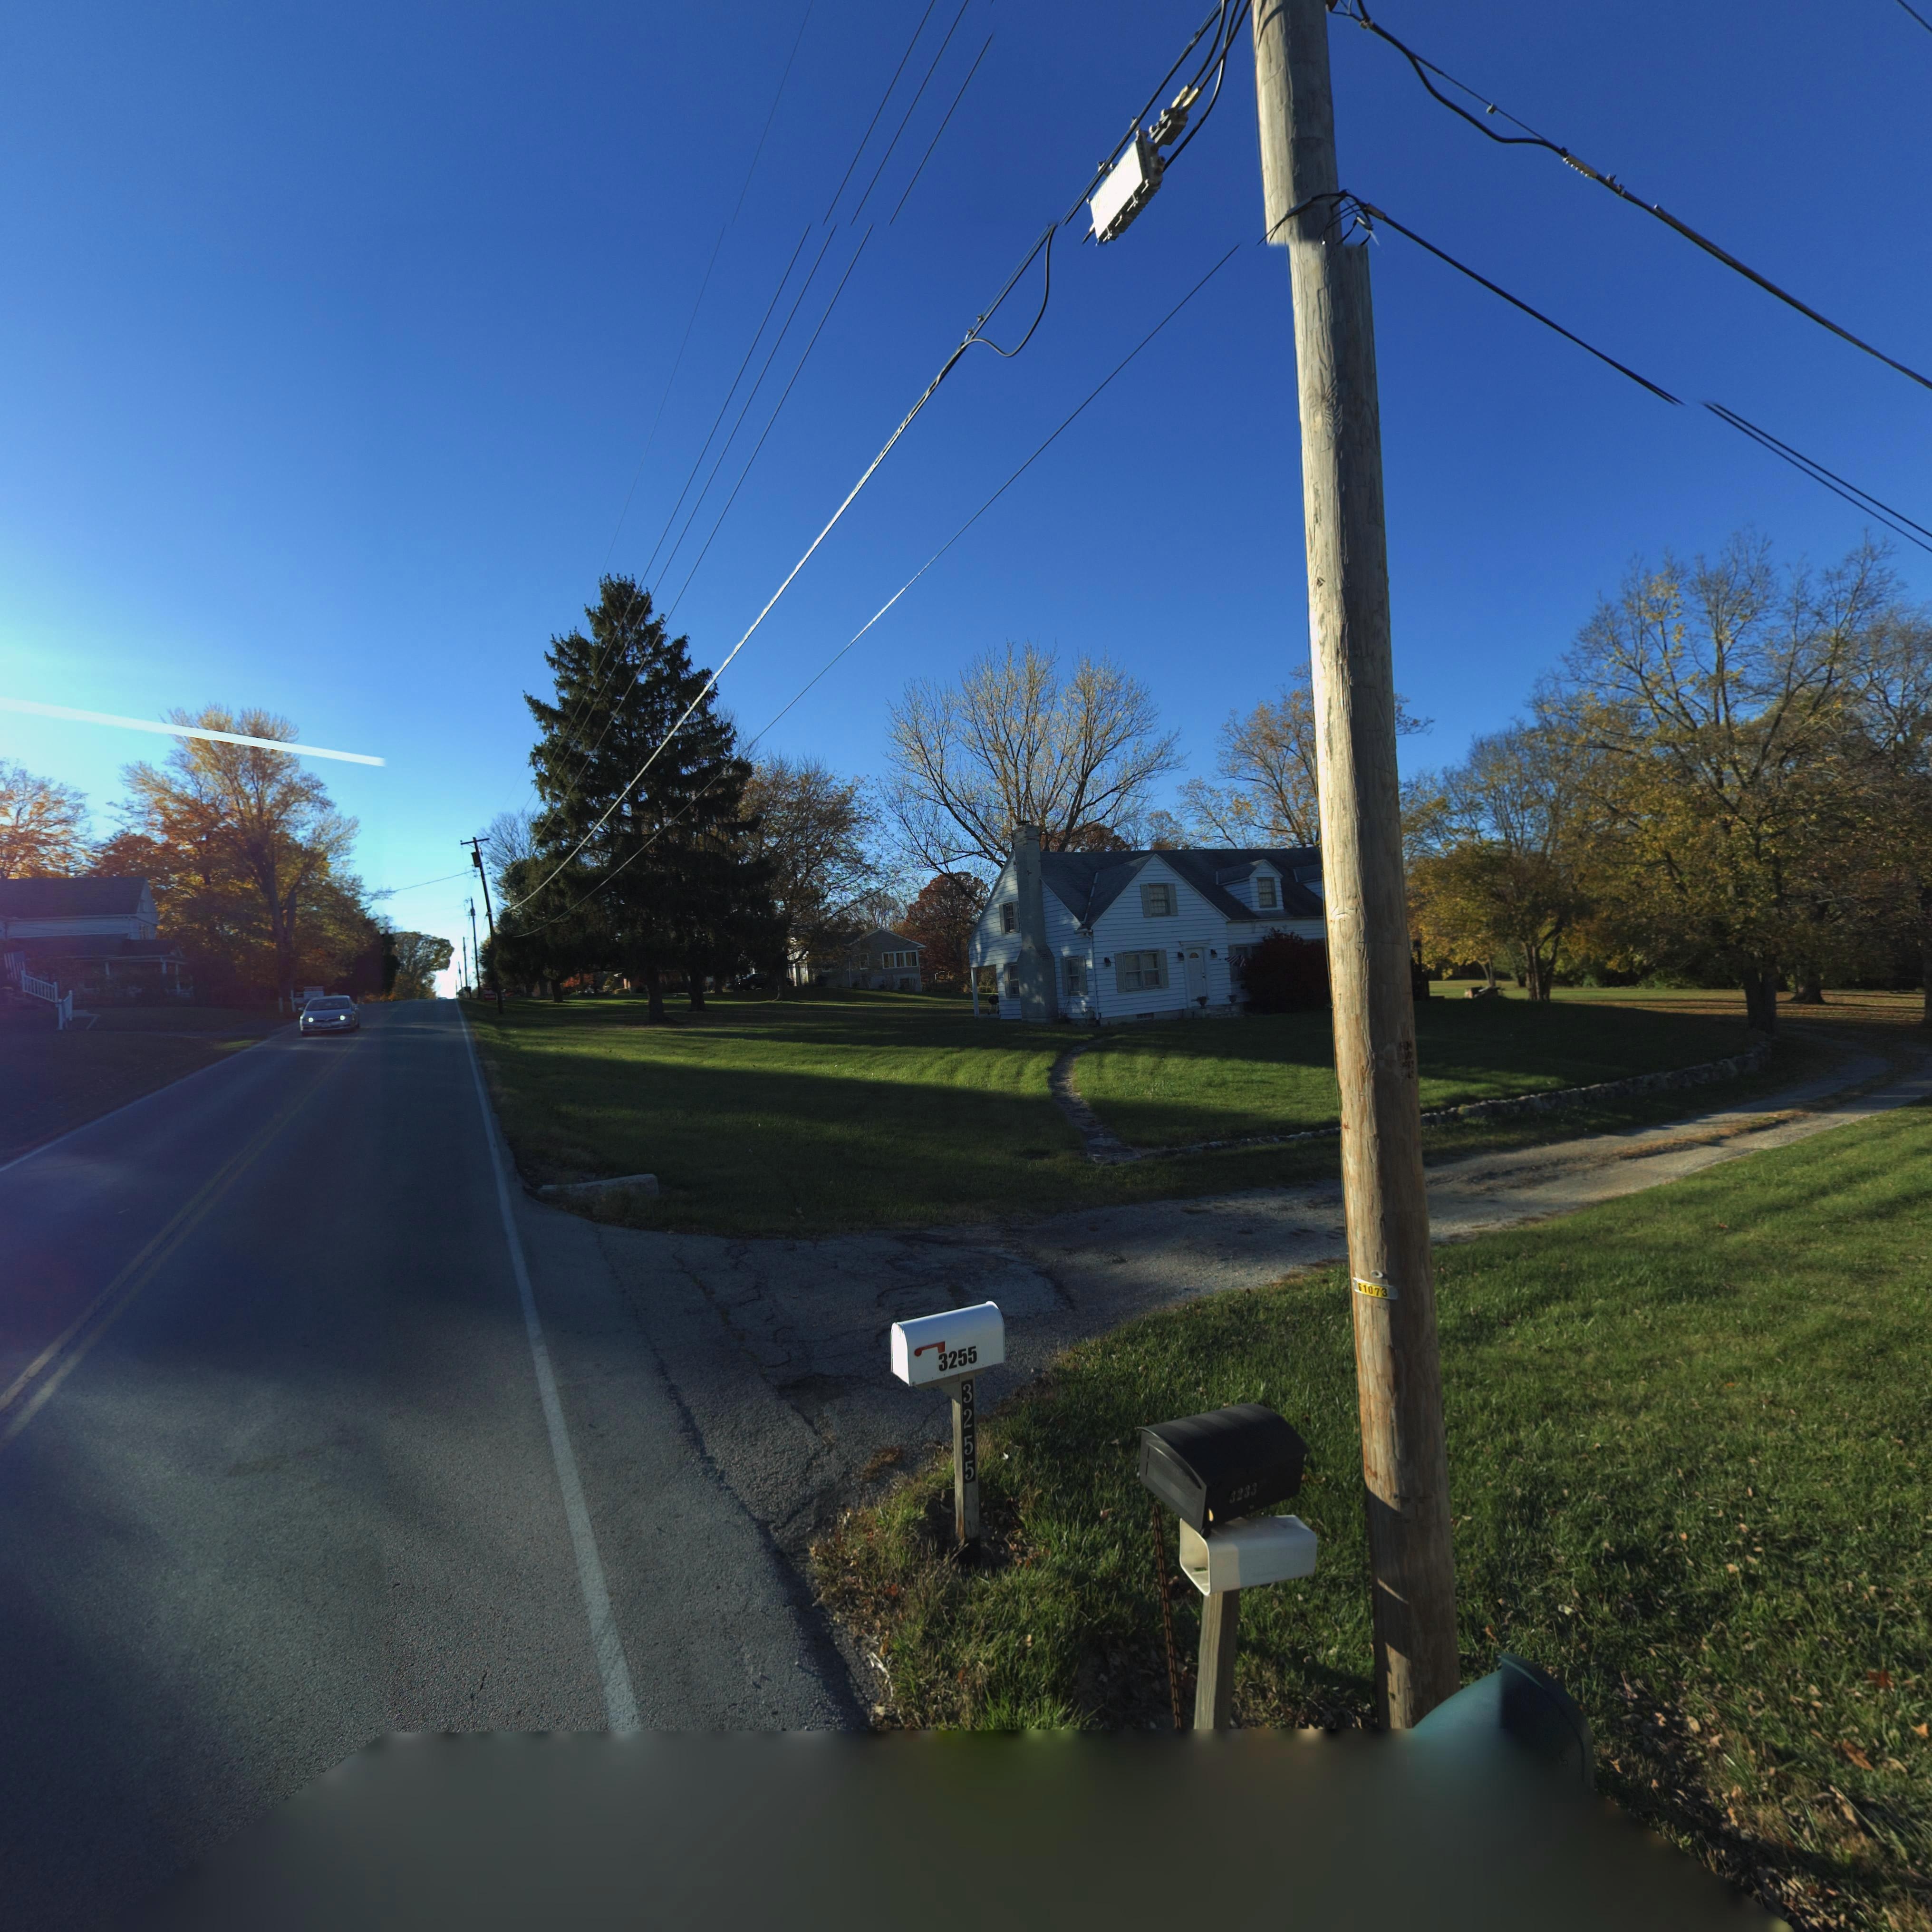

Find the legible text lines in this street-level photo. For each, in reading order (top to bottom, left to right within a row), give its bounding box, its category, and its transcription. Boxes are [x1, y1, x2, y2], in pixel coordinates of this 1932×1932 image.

[937, 1343, 980, 1374] StreetNumber: 3255
[961, 1381, 977, 1482] StreetNumber: 3255
[1228, 1480, 1260, 1507] StreetNumber: 3233